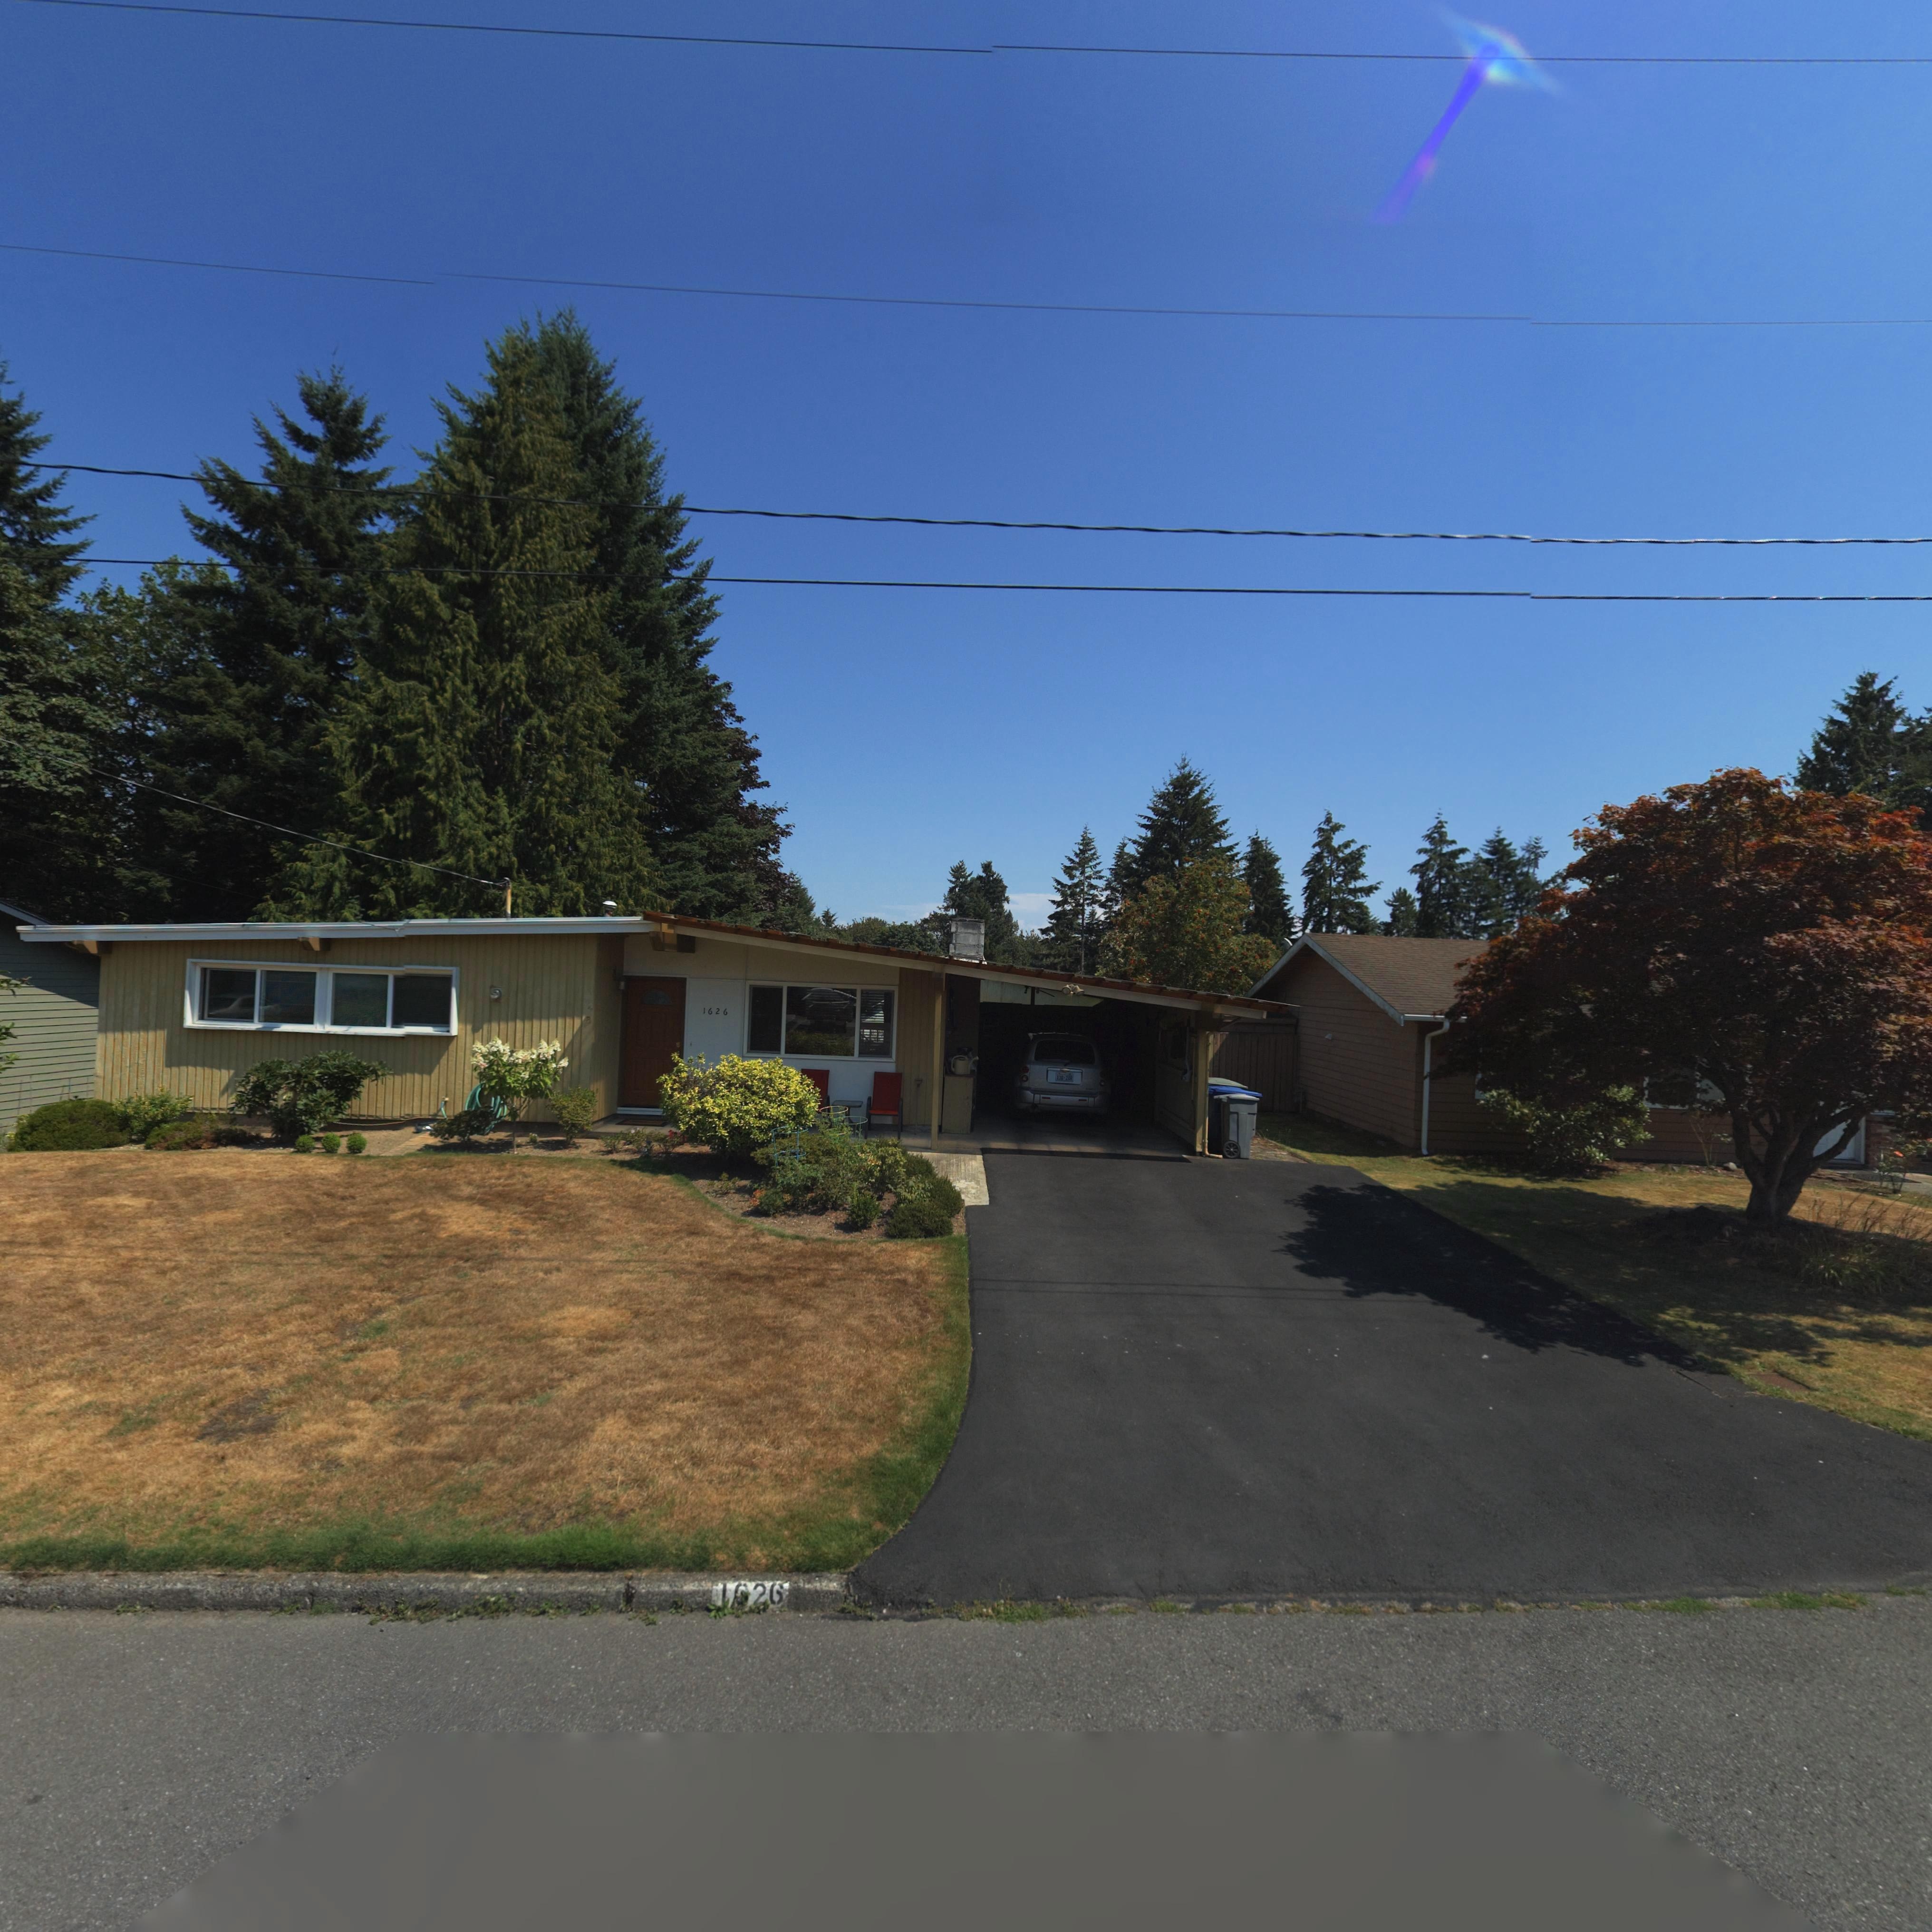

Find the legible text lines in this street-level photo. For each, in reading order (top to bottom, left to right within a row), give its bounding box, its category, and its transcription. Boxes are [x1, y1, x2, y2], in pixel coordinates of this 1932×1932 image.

[703, 1006, 729, 1016] StreetNumber: 1626
[719, 1580, 783, 1607] StreetNumber: 1*26